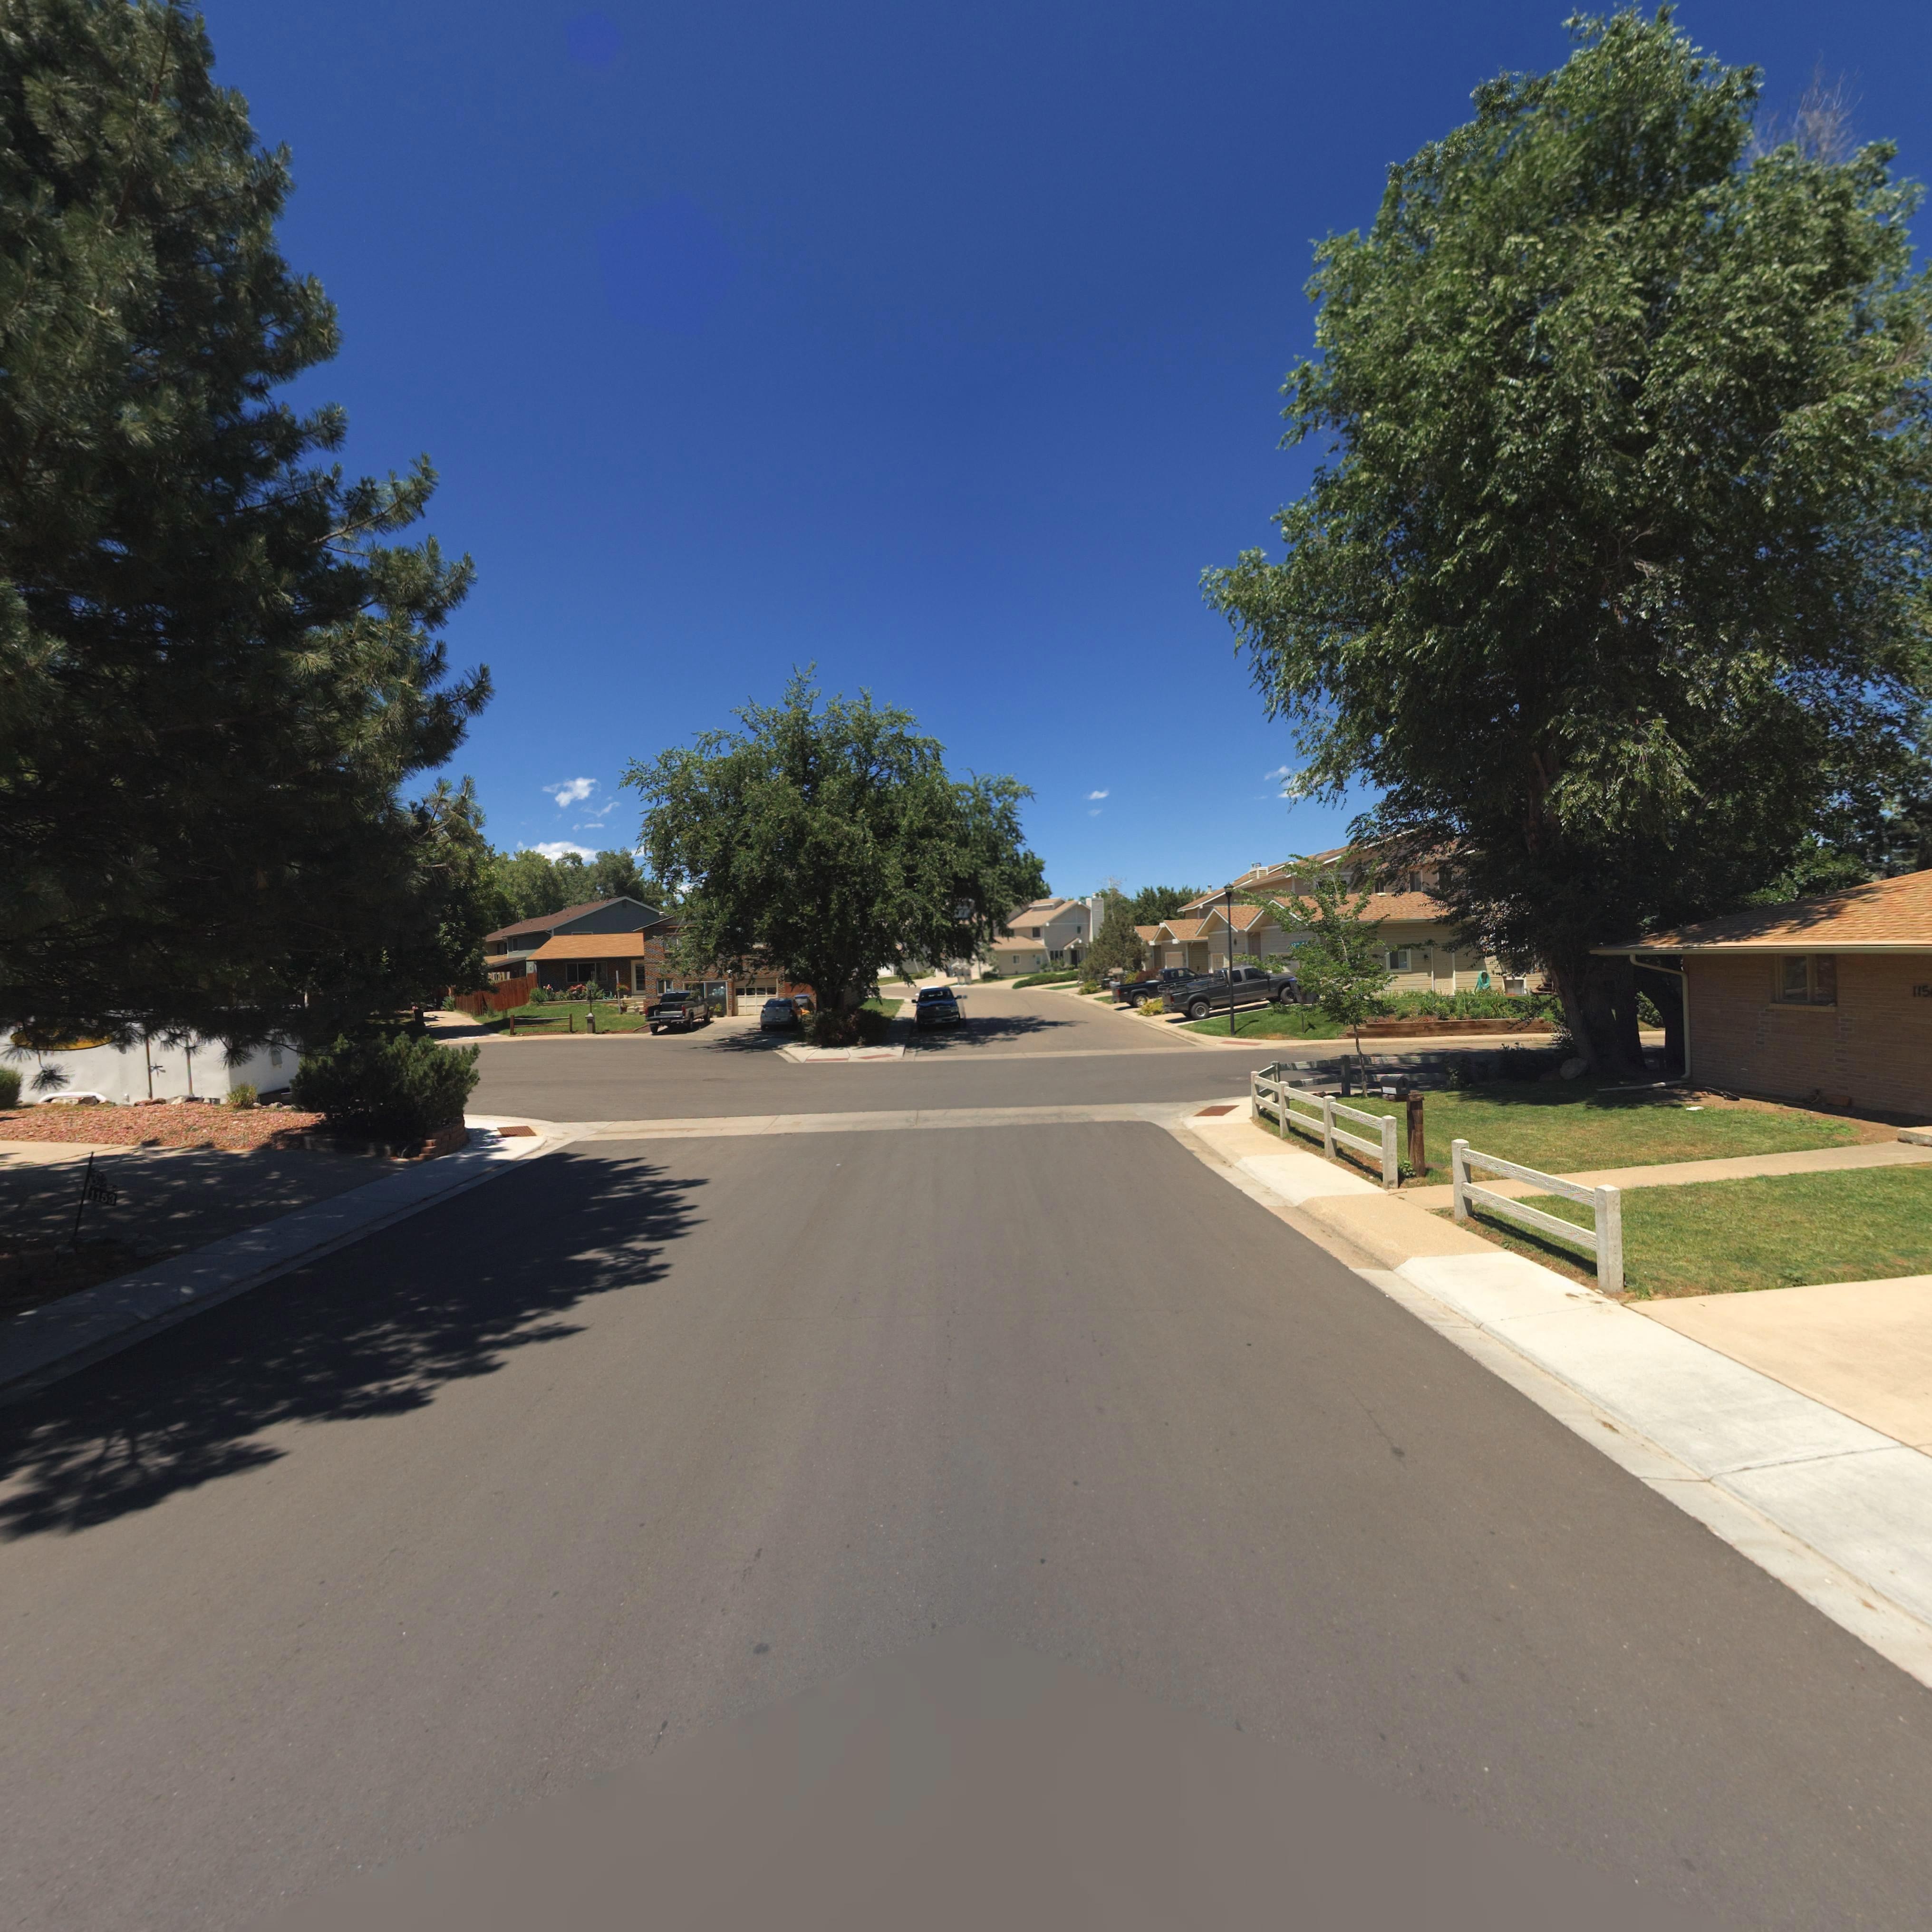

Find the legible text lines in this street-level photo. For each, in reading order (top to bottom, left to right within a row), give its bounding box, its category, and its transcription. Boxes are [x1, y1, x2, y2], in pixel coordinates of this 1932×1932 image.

[1290, 942, 1300, 948] StreetName: 12*
[1912, 984, 1931, 998] StreetNumber: 115
[89, 1188, 116, 1205] StreetNumber: 1153